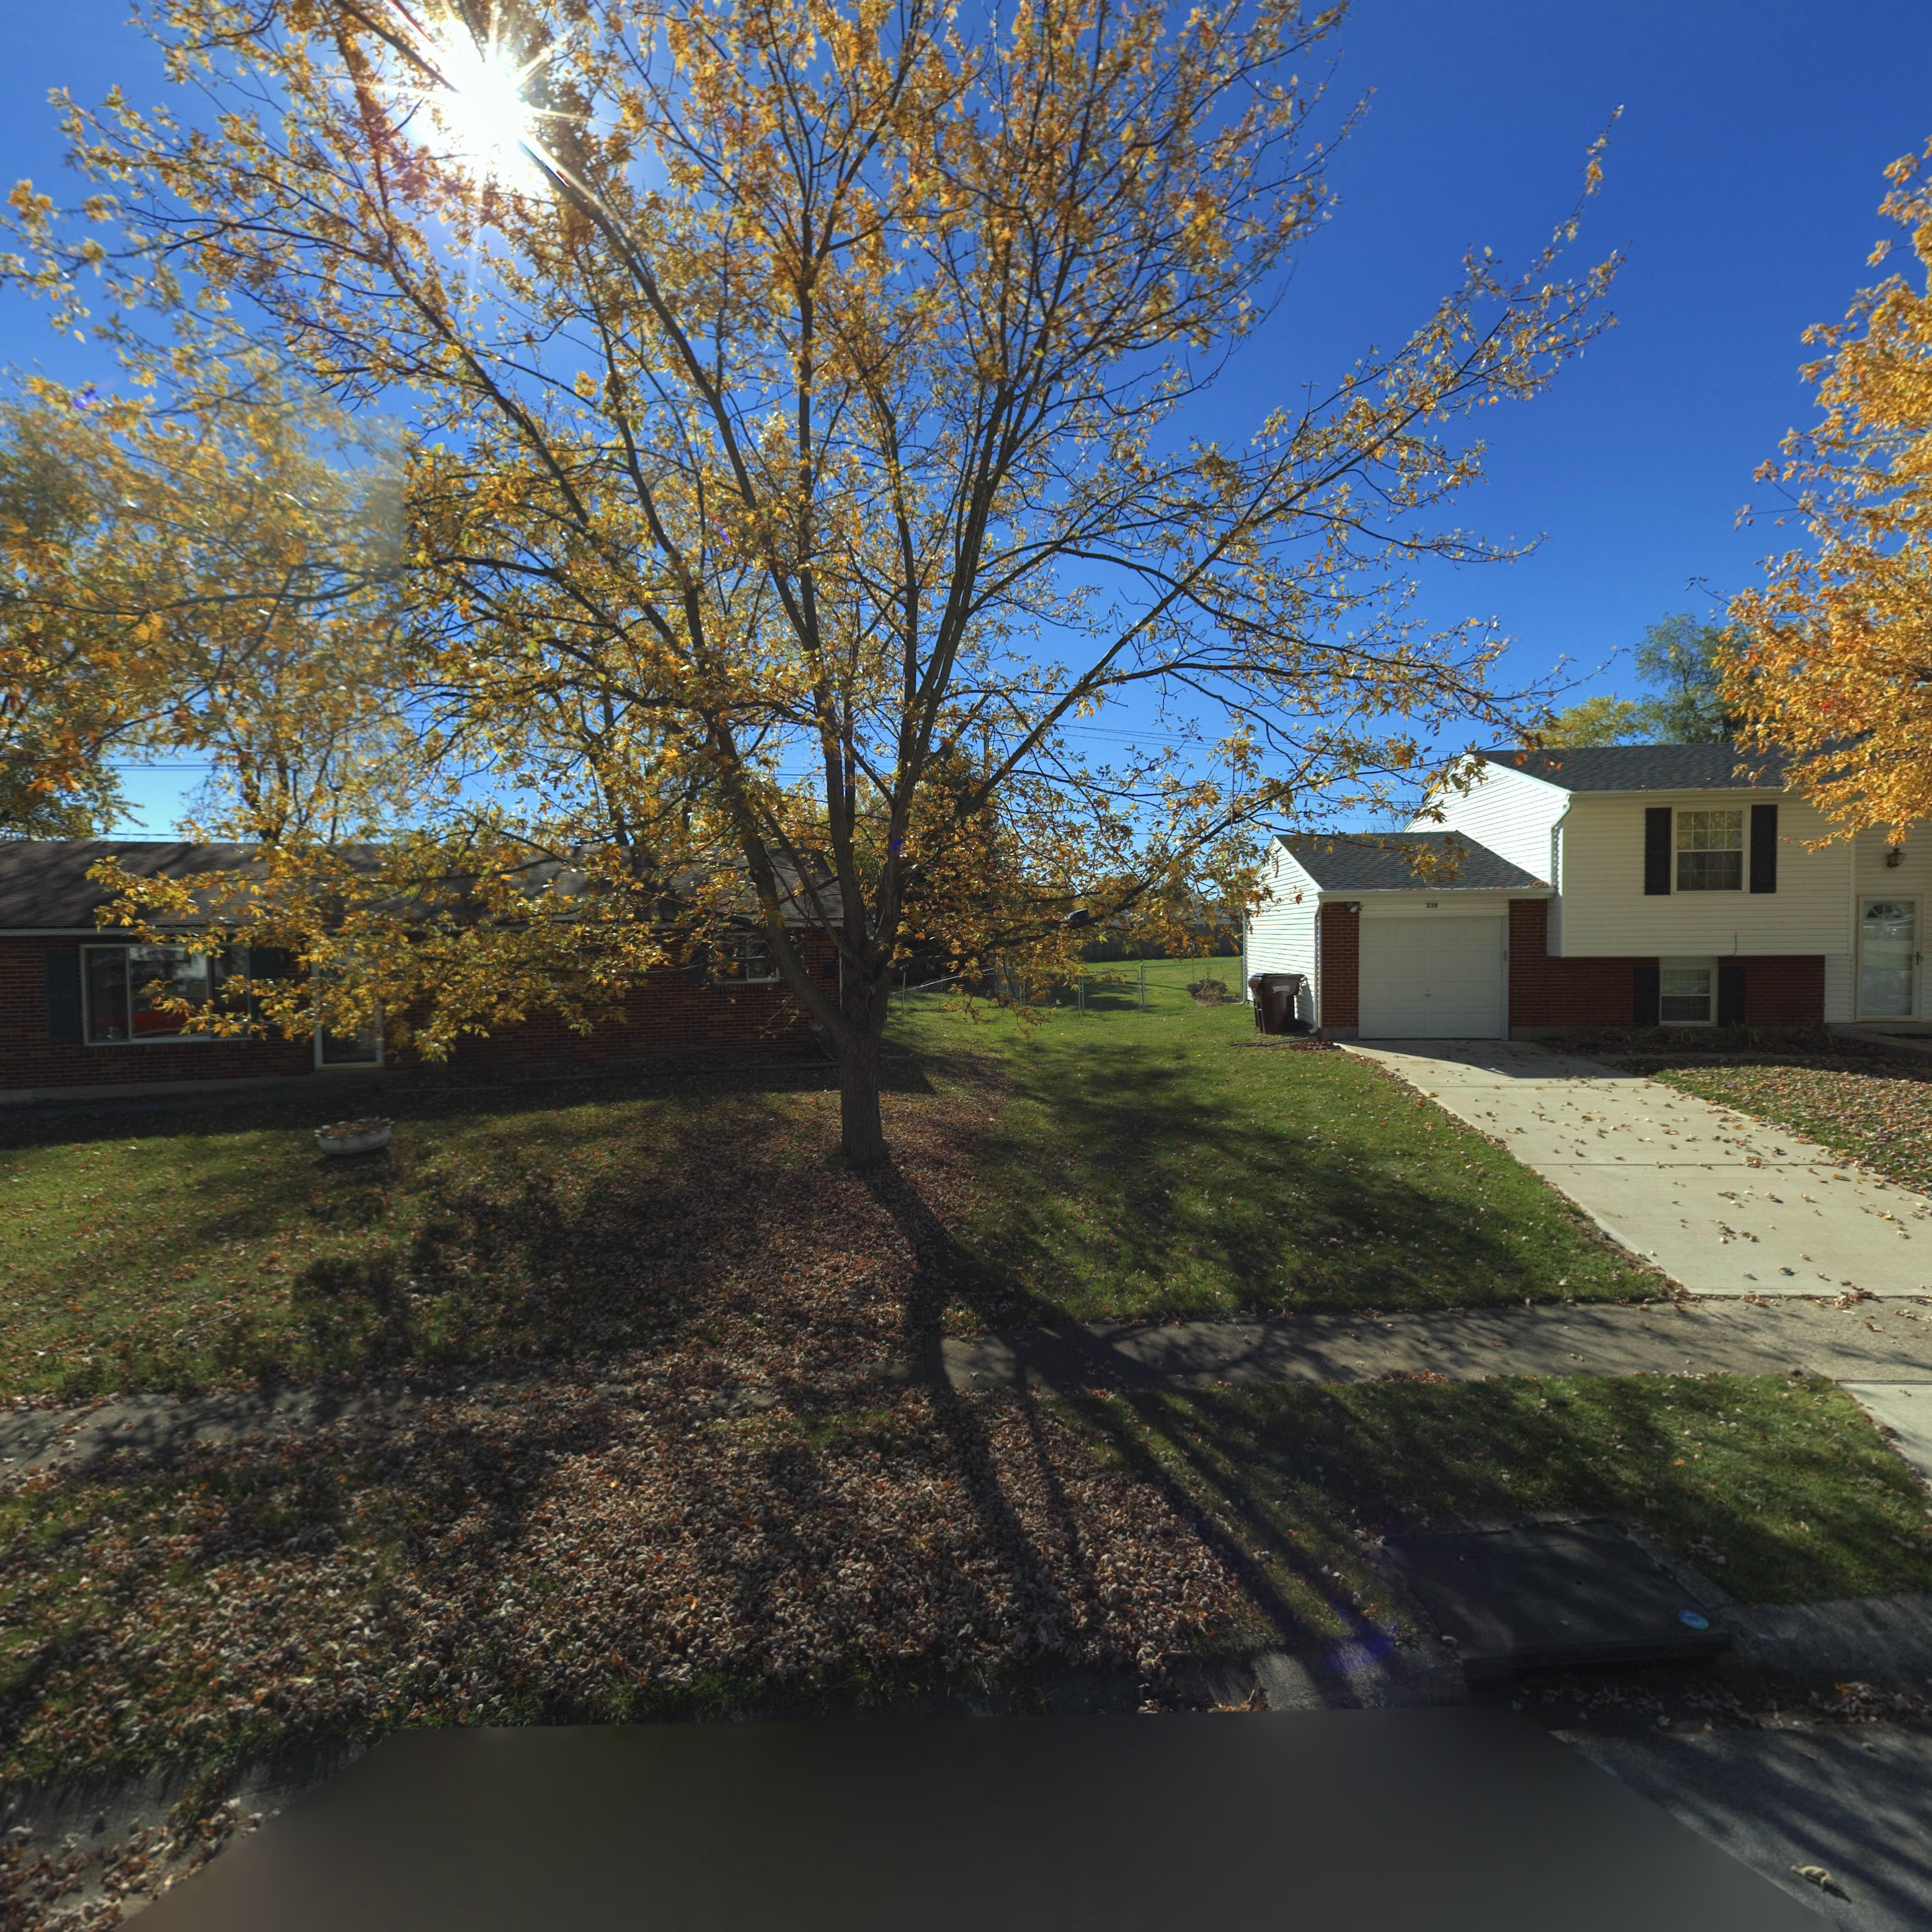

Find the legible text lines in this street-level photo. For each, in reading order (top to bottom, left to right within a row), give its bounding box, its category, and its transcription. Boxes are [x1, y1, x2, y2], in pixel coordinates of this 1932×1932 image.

[1426, 902, 1438, 908] StreetNumber: 238